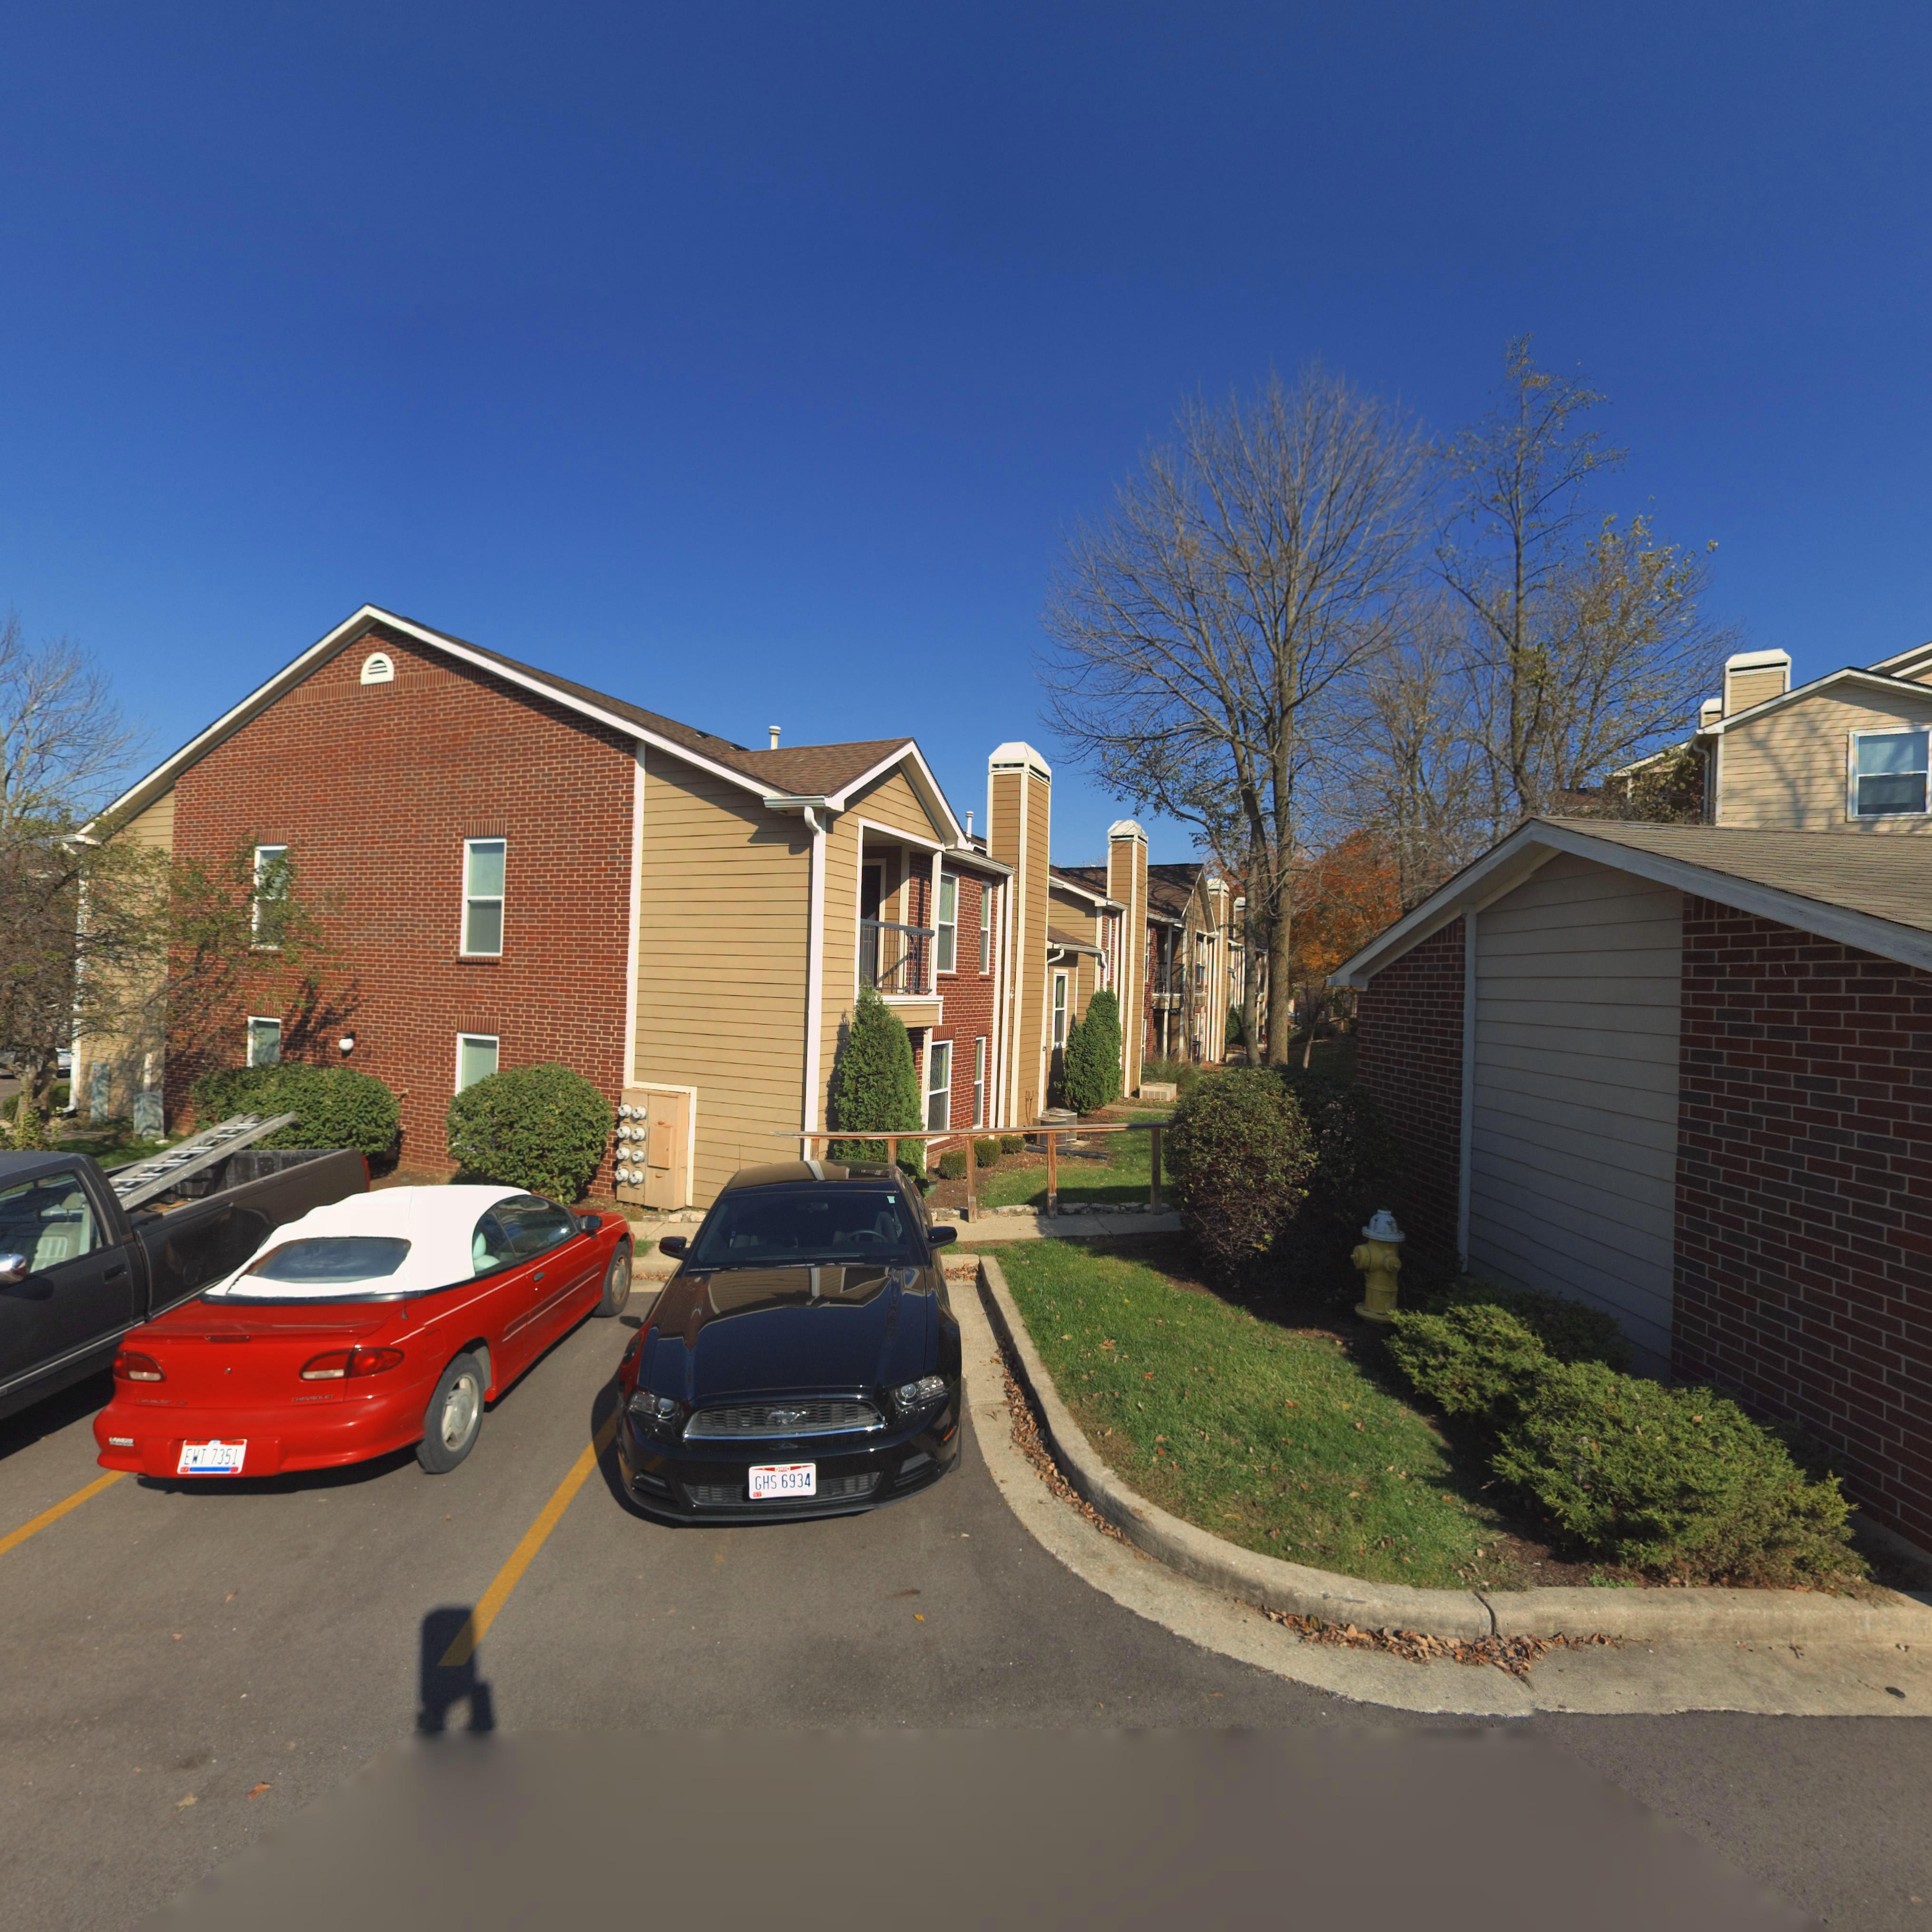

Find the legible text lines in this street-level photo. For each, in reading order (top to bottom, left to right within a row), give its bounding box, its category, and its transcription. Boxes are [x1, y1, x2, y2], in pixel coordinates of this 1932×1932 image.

[182, 1447, 240, 1466] None: EWT 7351
[773, 1466, 792, 1473] None: OHIO
[754, 1471, 811, 1491] None: GHS 6934